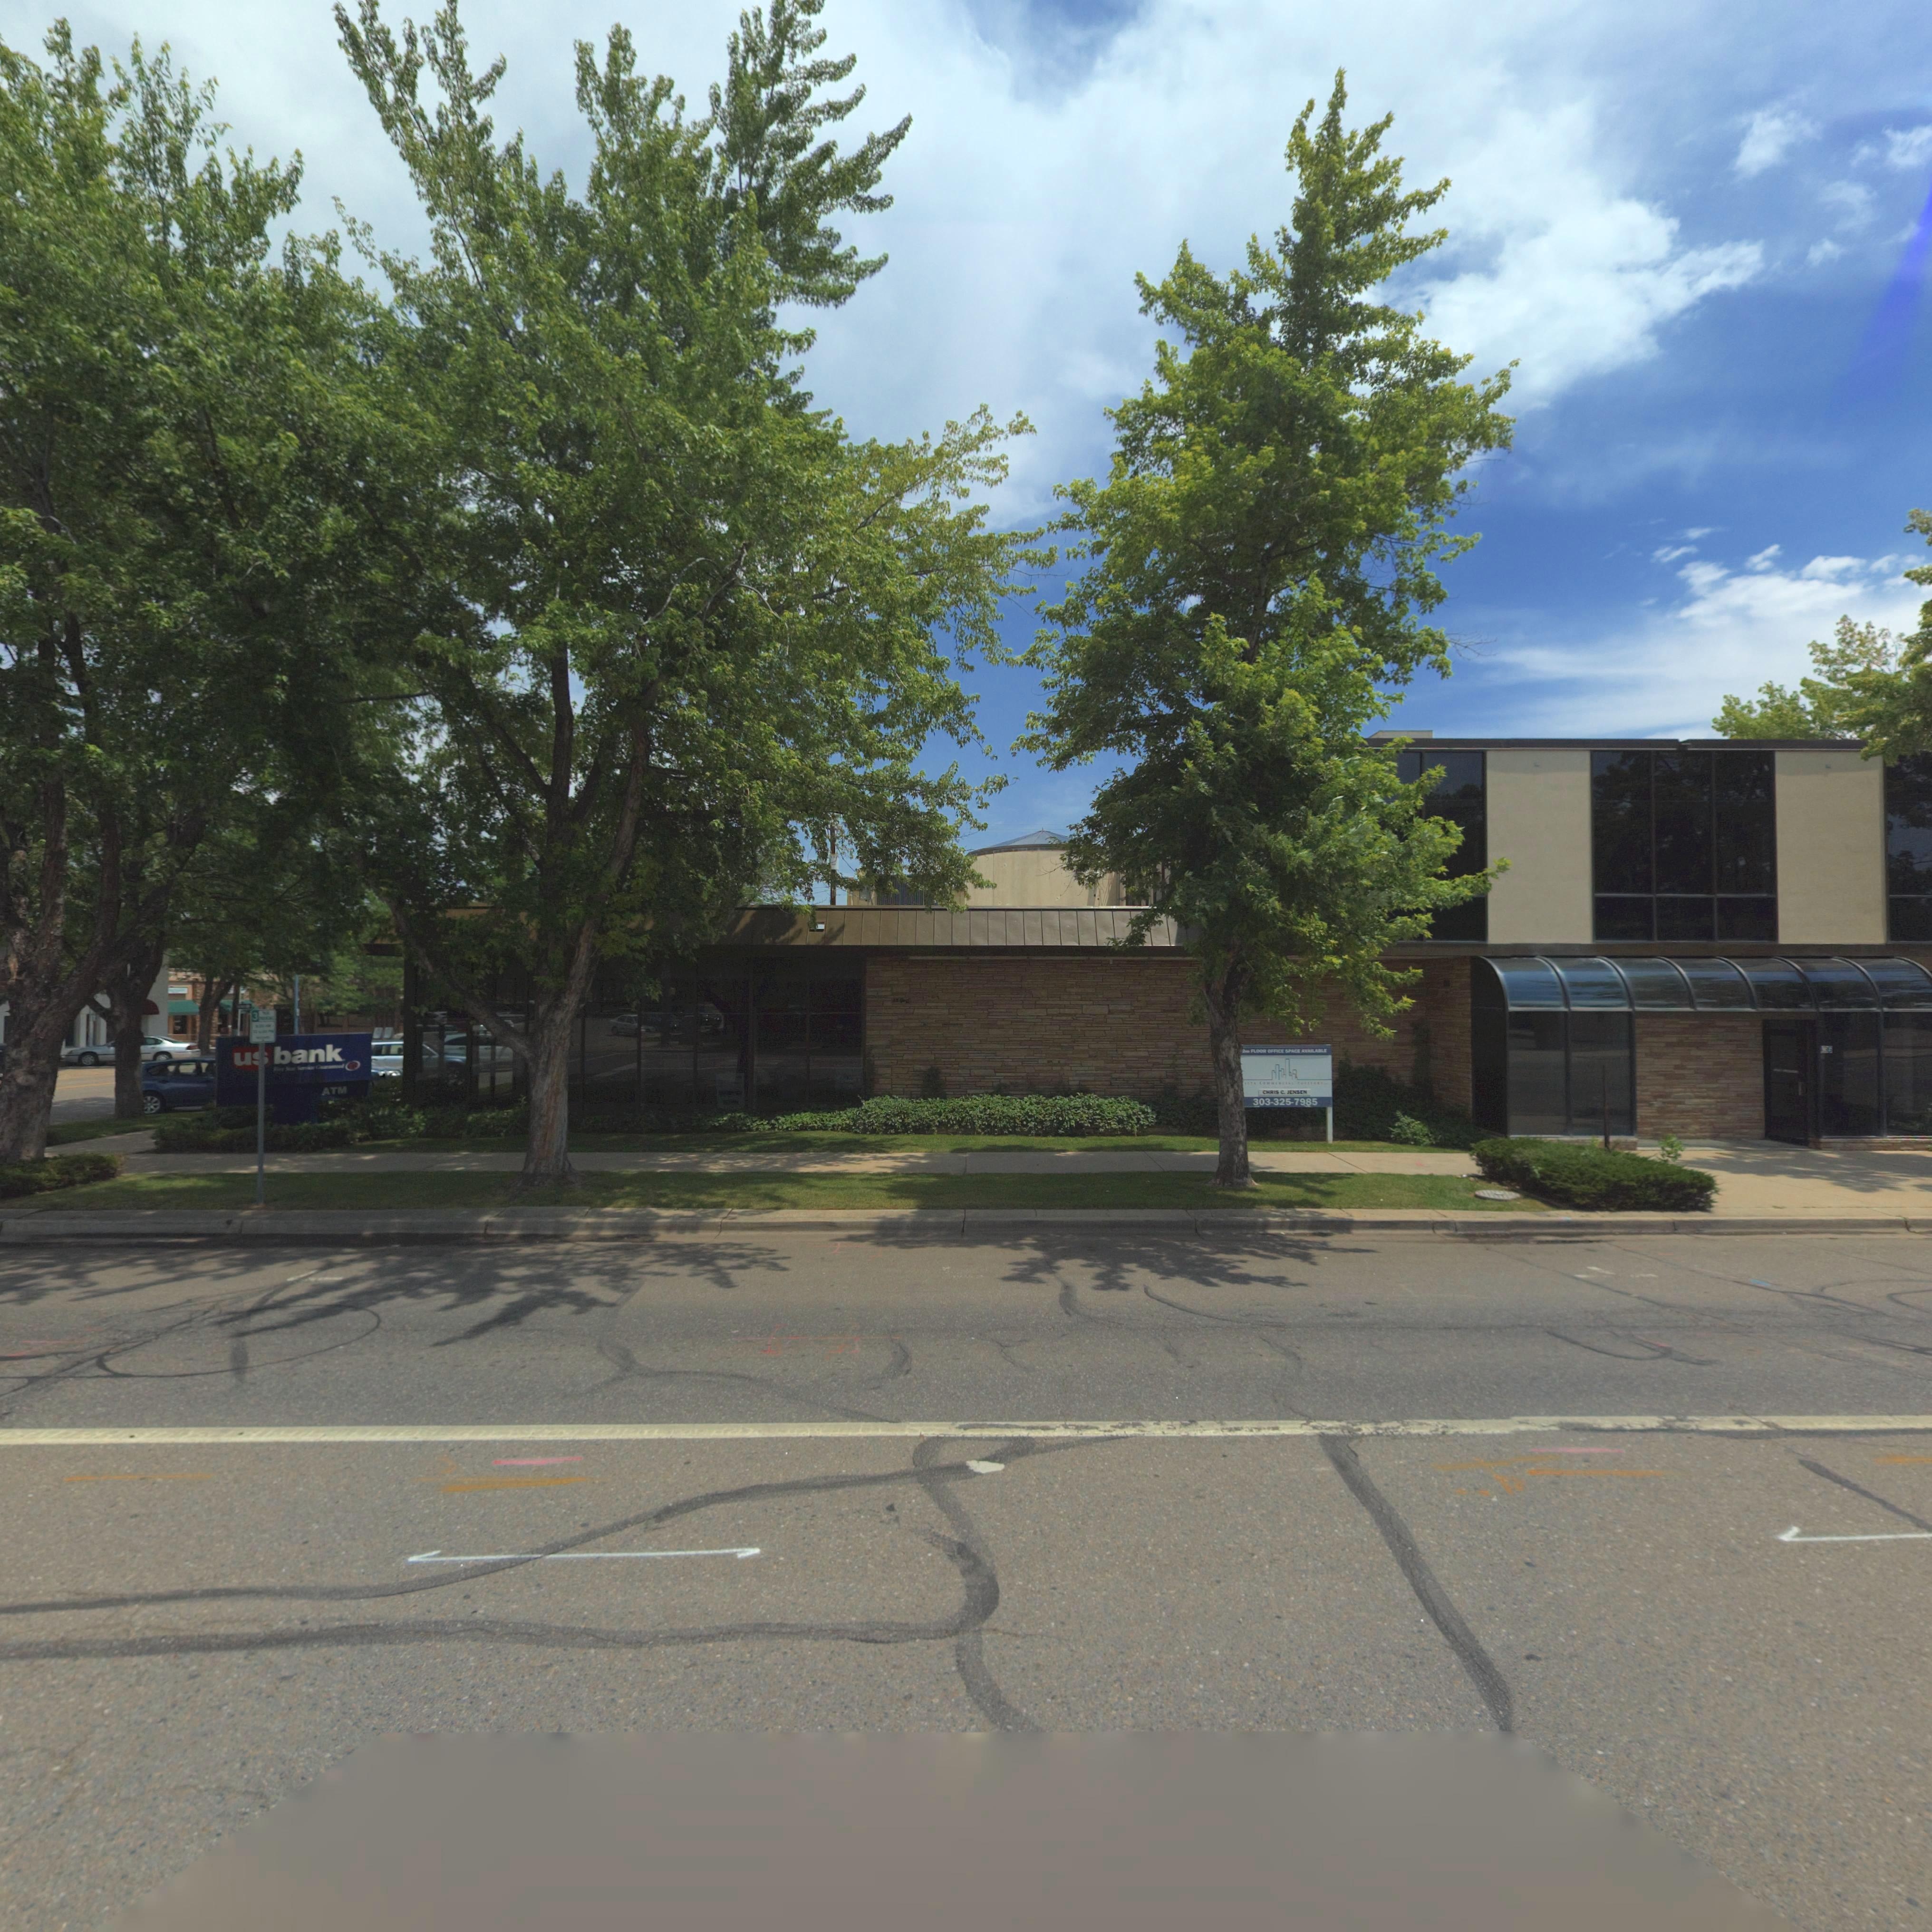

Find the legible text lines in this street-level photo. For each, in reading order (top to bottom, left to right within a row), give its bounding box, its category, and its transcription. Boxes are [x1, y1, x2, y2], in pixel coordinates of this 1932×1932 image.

[233, 1043, 343, 1066] BusinessName: u*bank